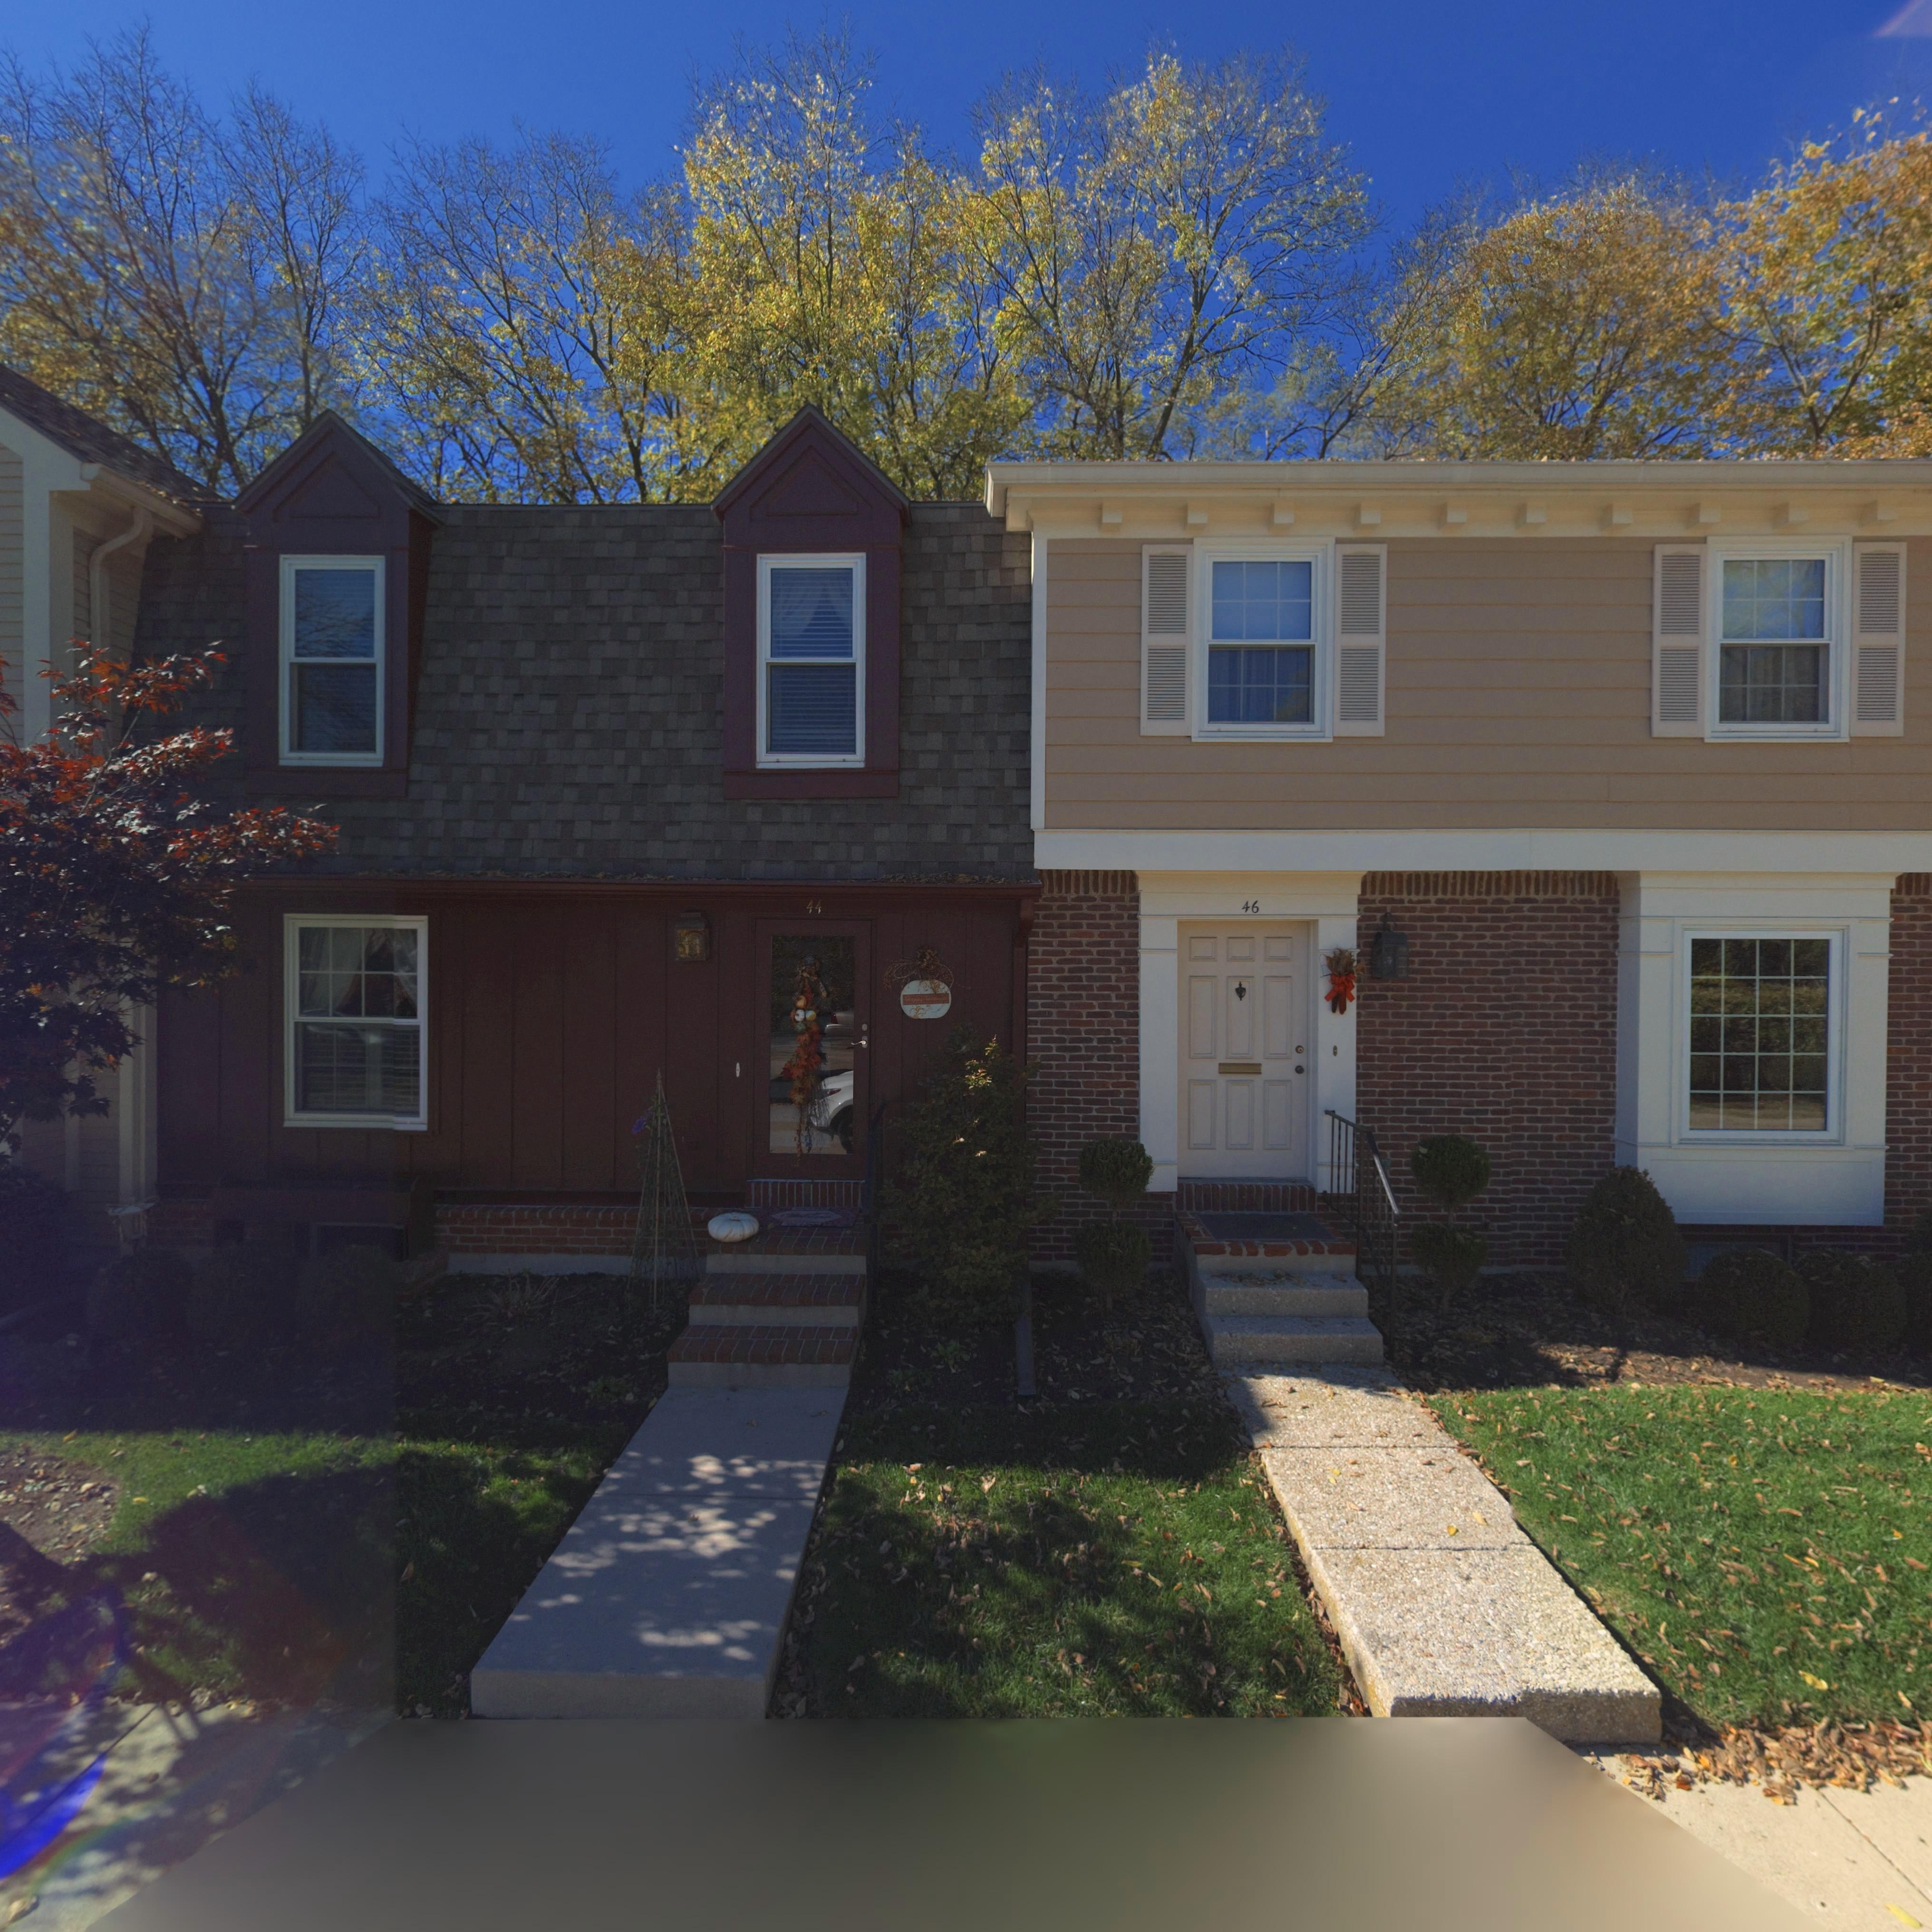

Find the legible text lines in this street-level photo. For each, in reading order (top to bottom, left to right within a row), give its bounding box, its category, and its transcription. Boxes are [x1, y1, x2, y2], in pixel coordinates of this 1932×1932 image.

[804, 899, 823, 915] StreetNumber: 44
[1241, 899, 1260, 915] StreetNumber: 46